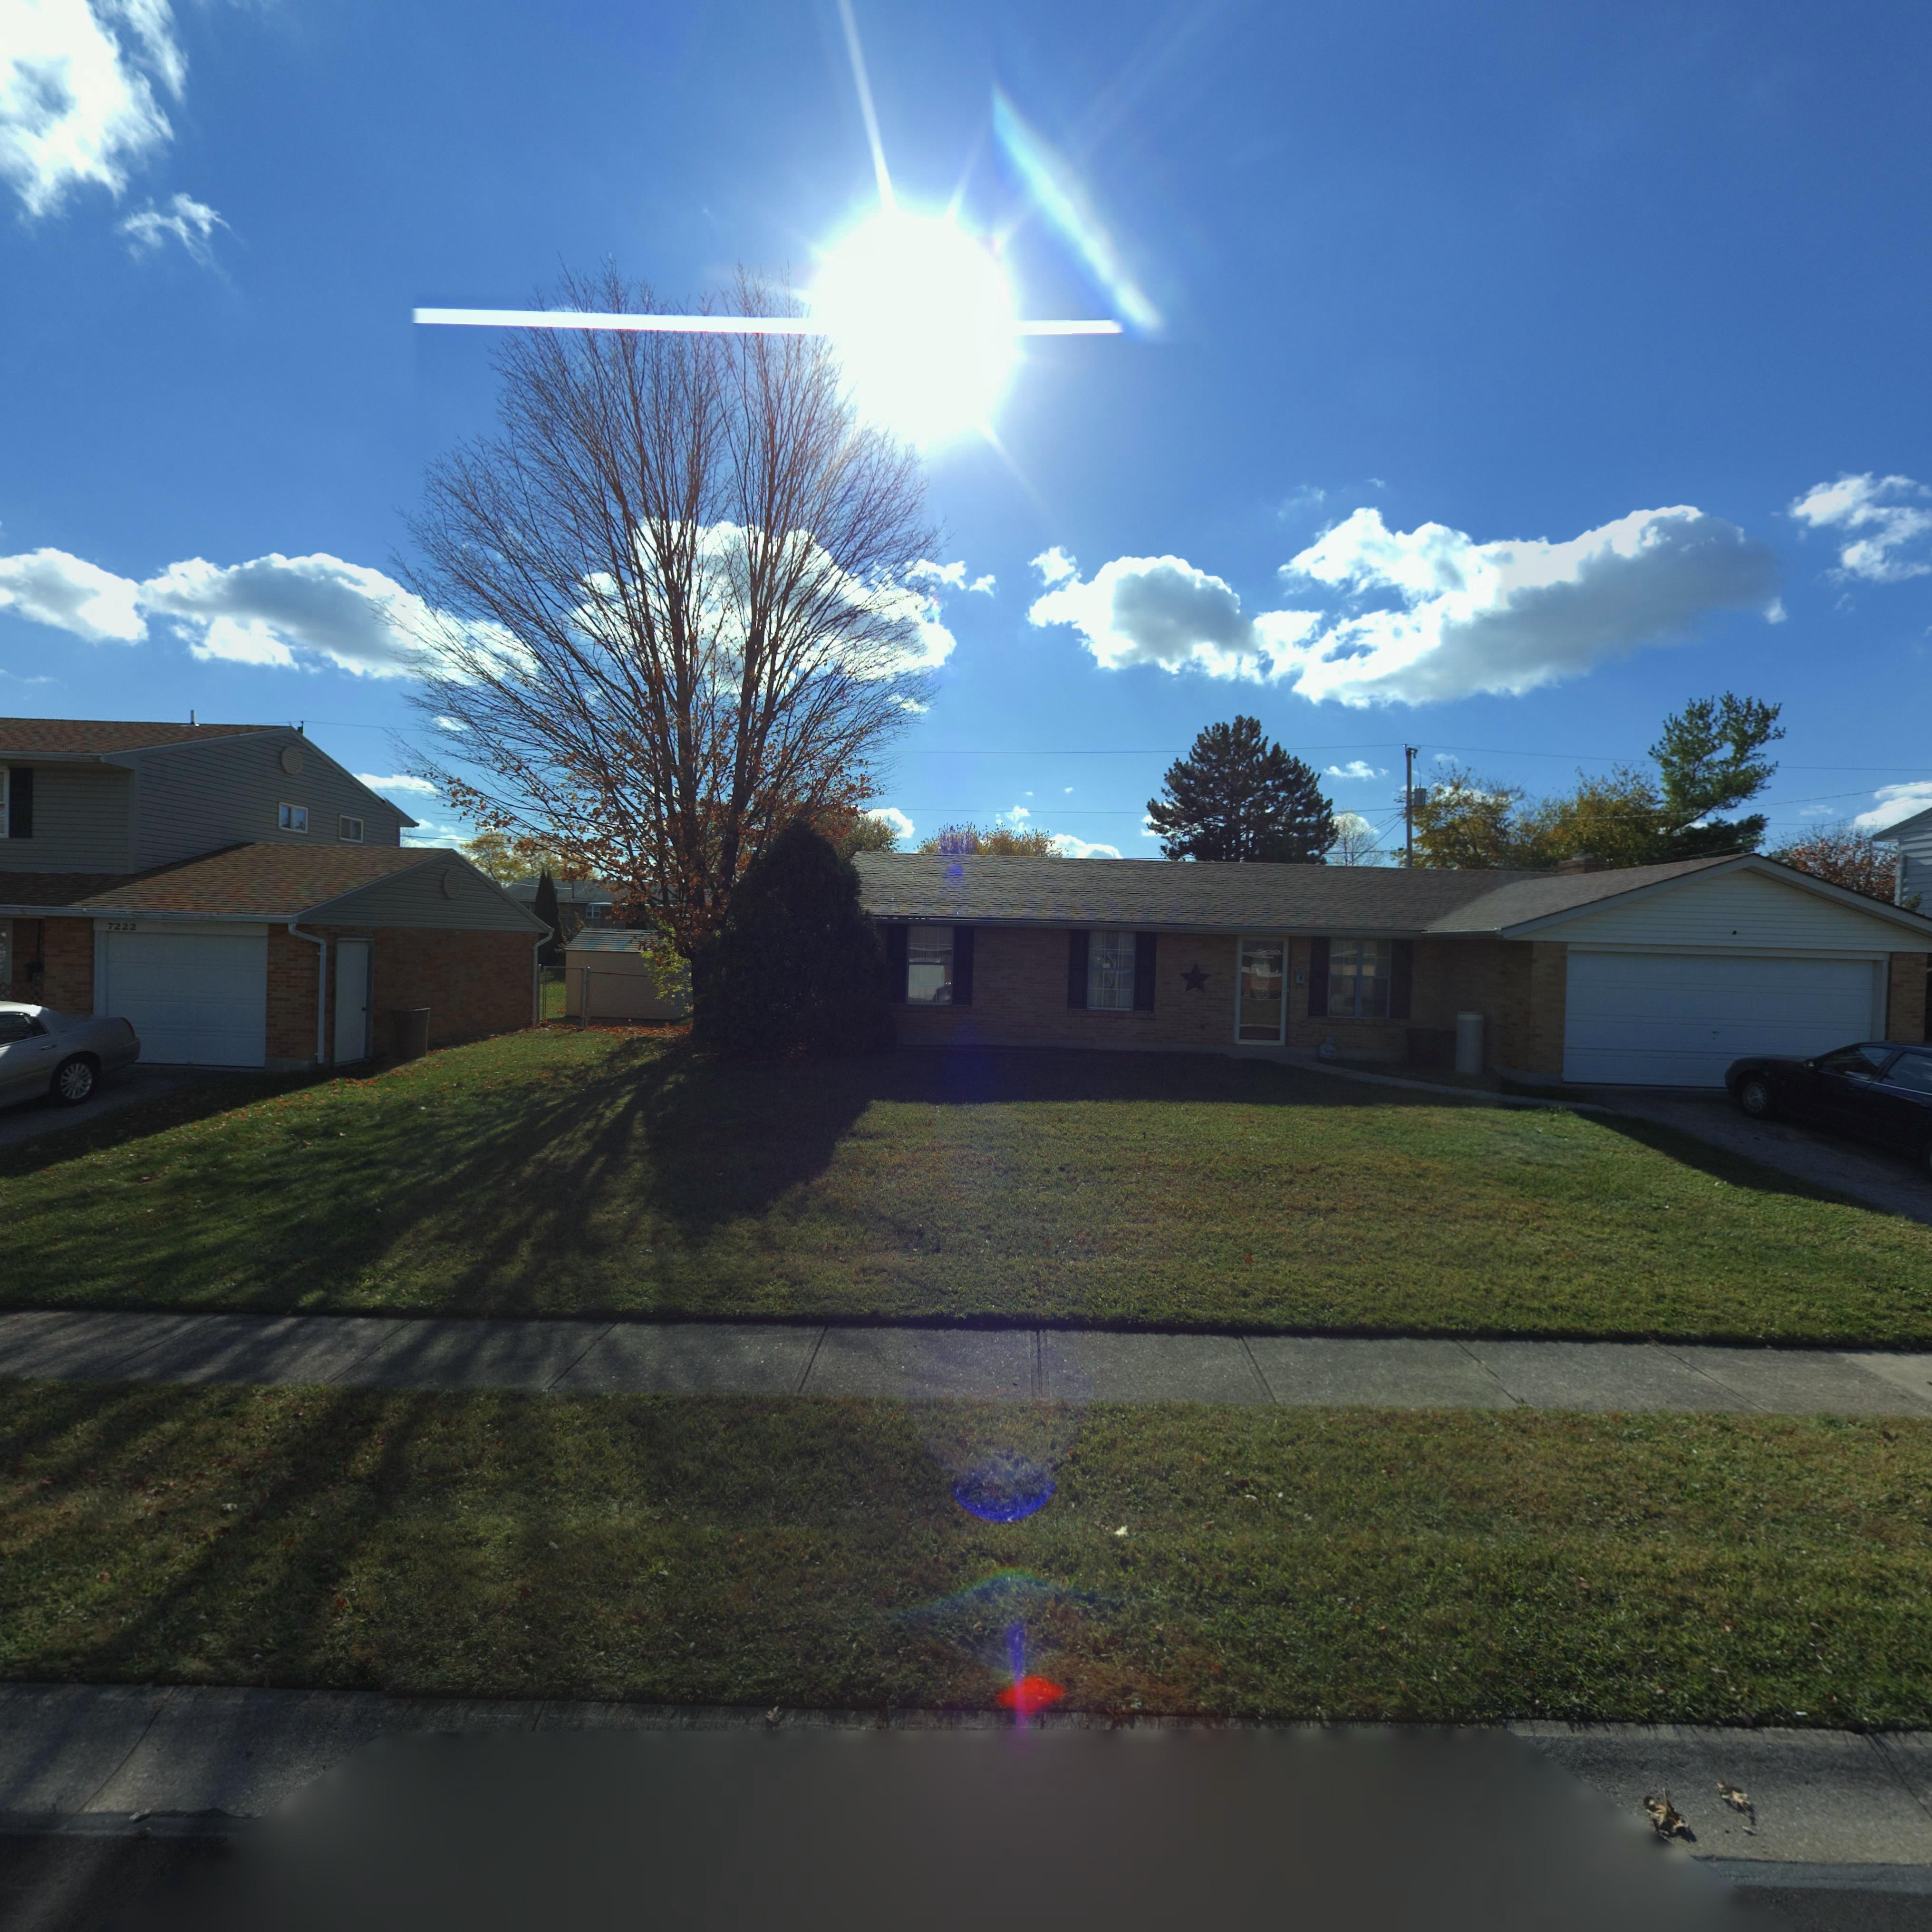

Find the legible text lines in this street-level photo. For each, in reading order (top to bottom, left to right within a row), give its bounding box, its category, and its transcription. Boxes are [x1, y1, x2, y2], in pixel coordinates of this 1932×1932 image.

[107, 922, 137, 932] StreetNumber: 7222